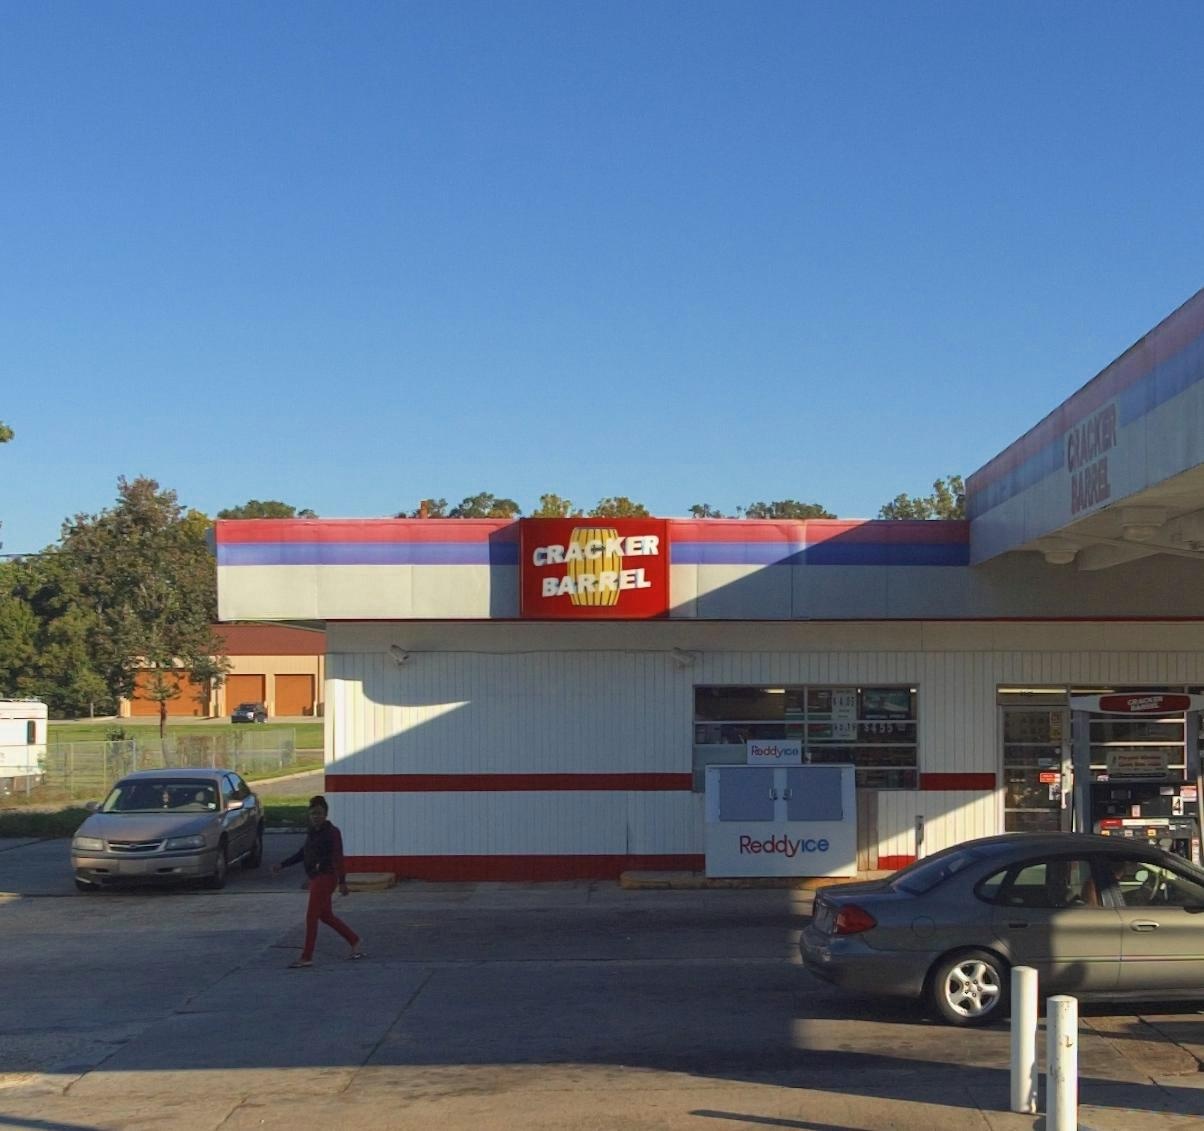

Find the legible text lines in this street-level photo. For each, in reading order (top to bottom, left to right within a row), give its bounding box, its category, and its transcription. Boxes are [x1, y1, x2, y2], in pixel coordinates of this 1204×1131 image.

[1065, 398, 1119, 476] None: C*AC***
[528, 531, 662, 569] BusinessName: CRACKER
[540, 565, 653, 600] None: BARREL
[761, 743, 779, 758] None: dd
[738, 832, 833, 860] None: Reddyice